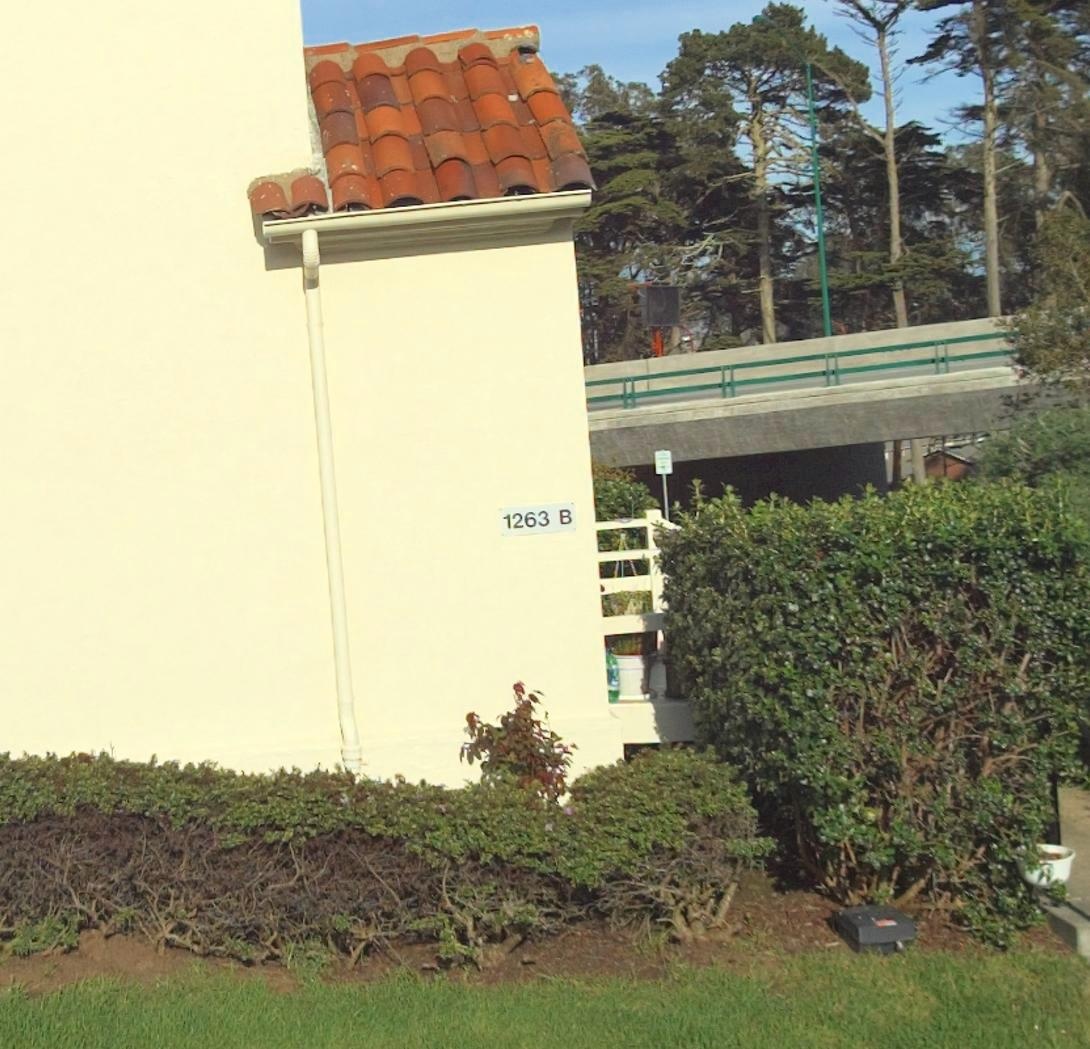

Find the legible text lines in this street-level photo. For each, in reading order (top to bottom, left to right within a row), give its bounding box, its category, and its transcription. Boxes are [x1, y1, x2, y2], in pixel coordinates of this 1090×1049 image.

[501, 507, 575, 531] StreetNumber: 1263B